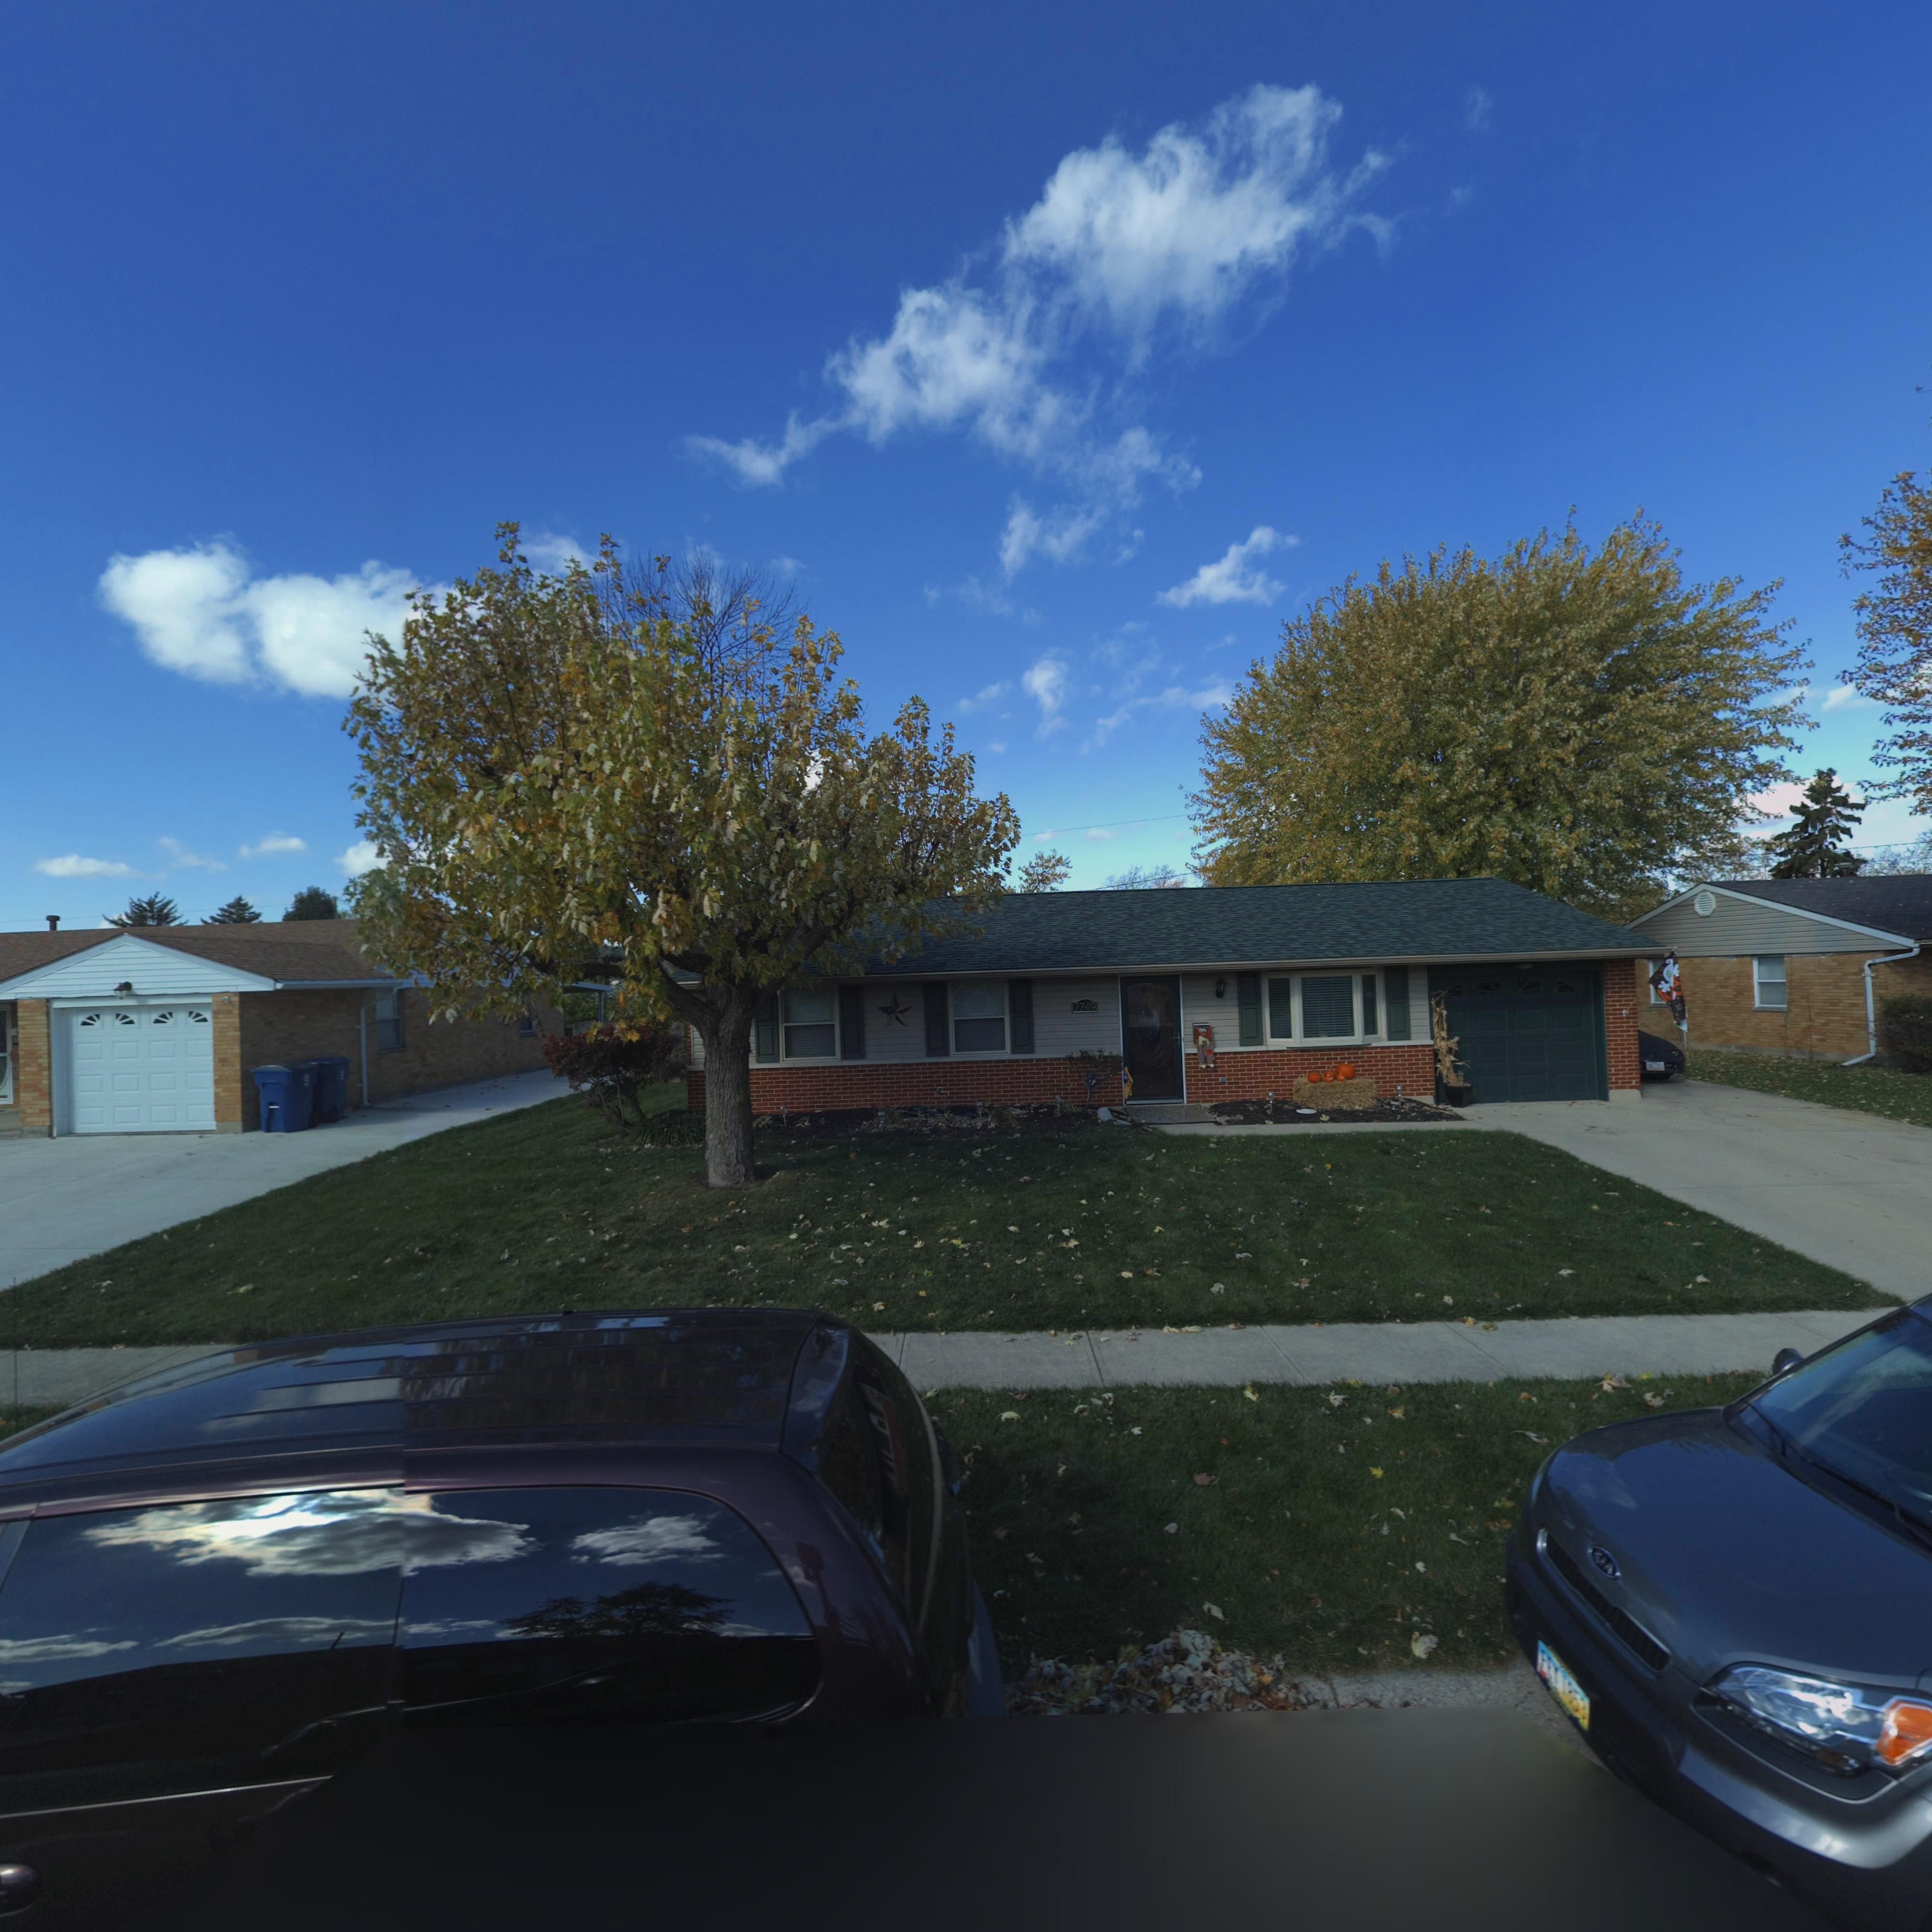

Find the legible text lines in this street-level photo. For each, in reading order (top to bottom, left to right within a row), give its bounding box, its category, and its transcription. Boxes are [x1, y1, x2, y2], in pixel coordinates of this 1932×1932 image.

[1073, 1002, 1097, 1011] StreetNumber: 7749